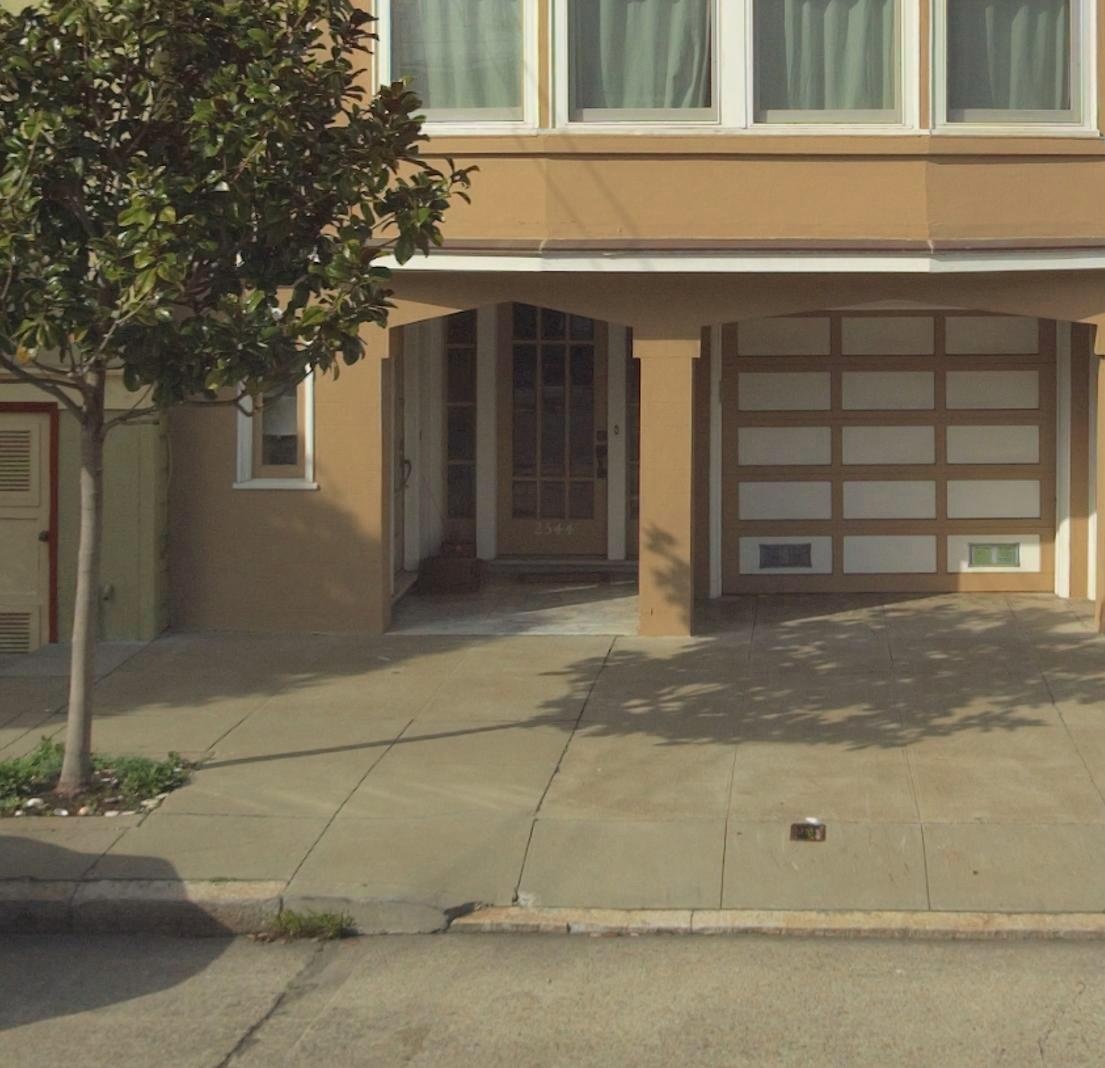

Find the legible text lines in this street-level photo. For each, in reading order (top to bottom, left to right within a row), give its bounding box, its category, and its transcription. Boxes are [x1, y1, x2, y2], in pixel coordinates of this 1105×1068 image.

[532, 520, 576, 536] StreetNumber: 2544